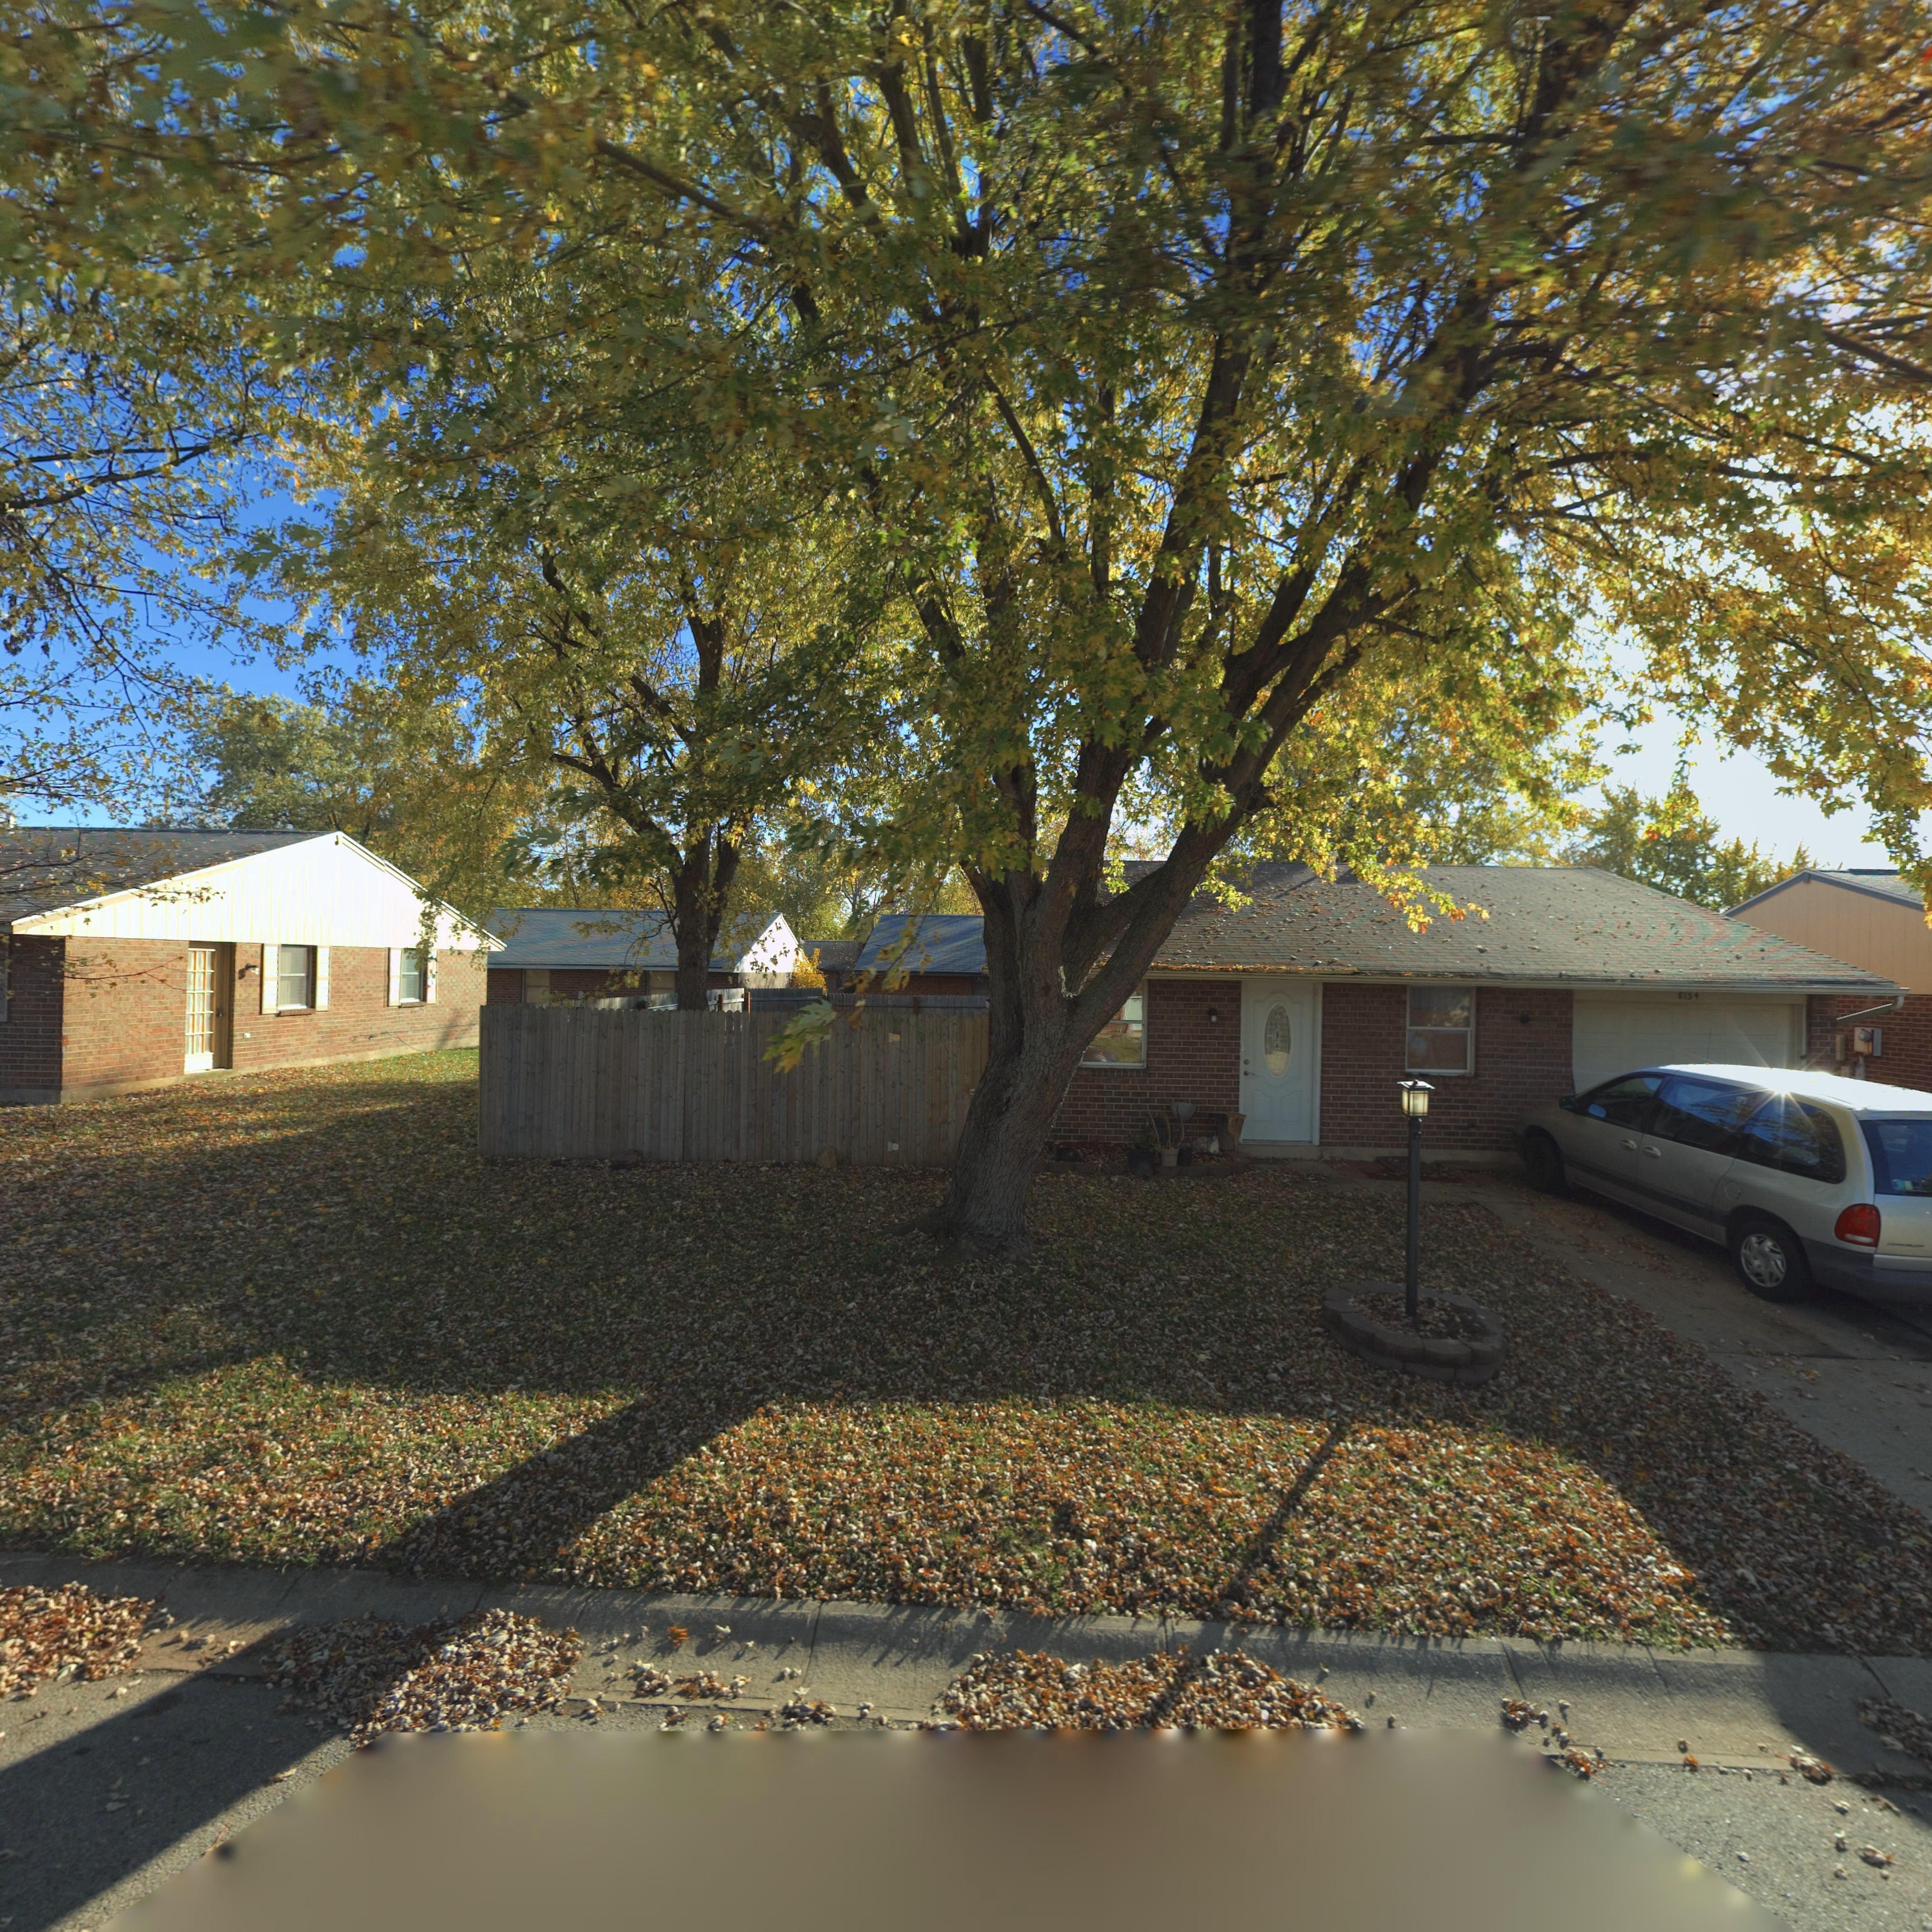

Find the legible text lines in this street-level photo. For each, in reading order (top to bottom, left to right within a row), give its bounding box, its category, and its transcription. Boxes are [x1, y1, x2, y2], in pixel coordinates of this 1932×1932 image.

[1676, 991, 1700, 1002] StreetNumber: 81*4